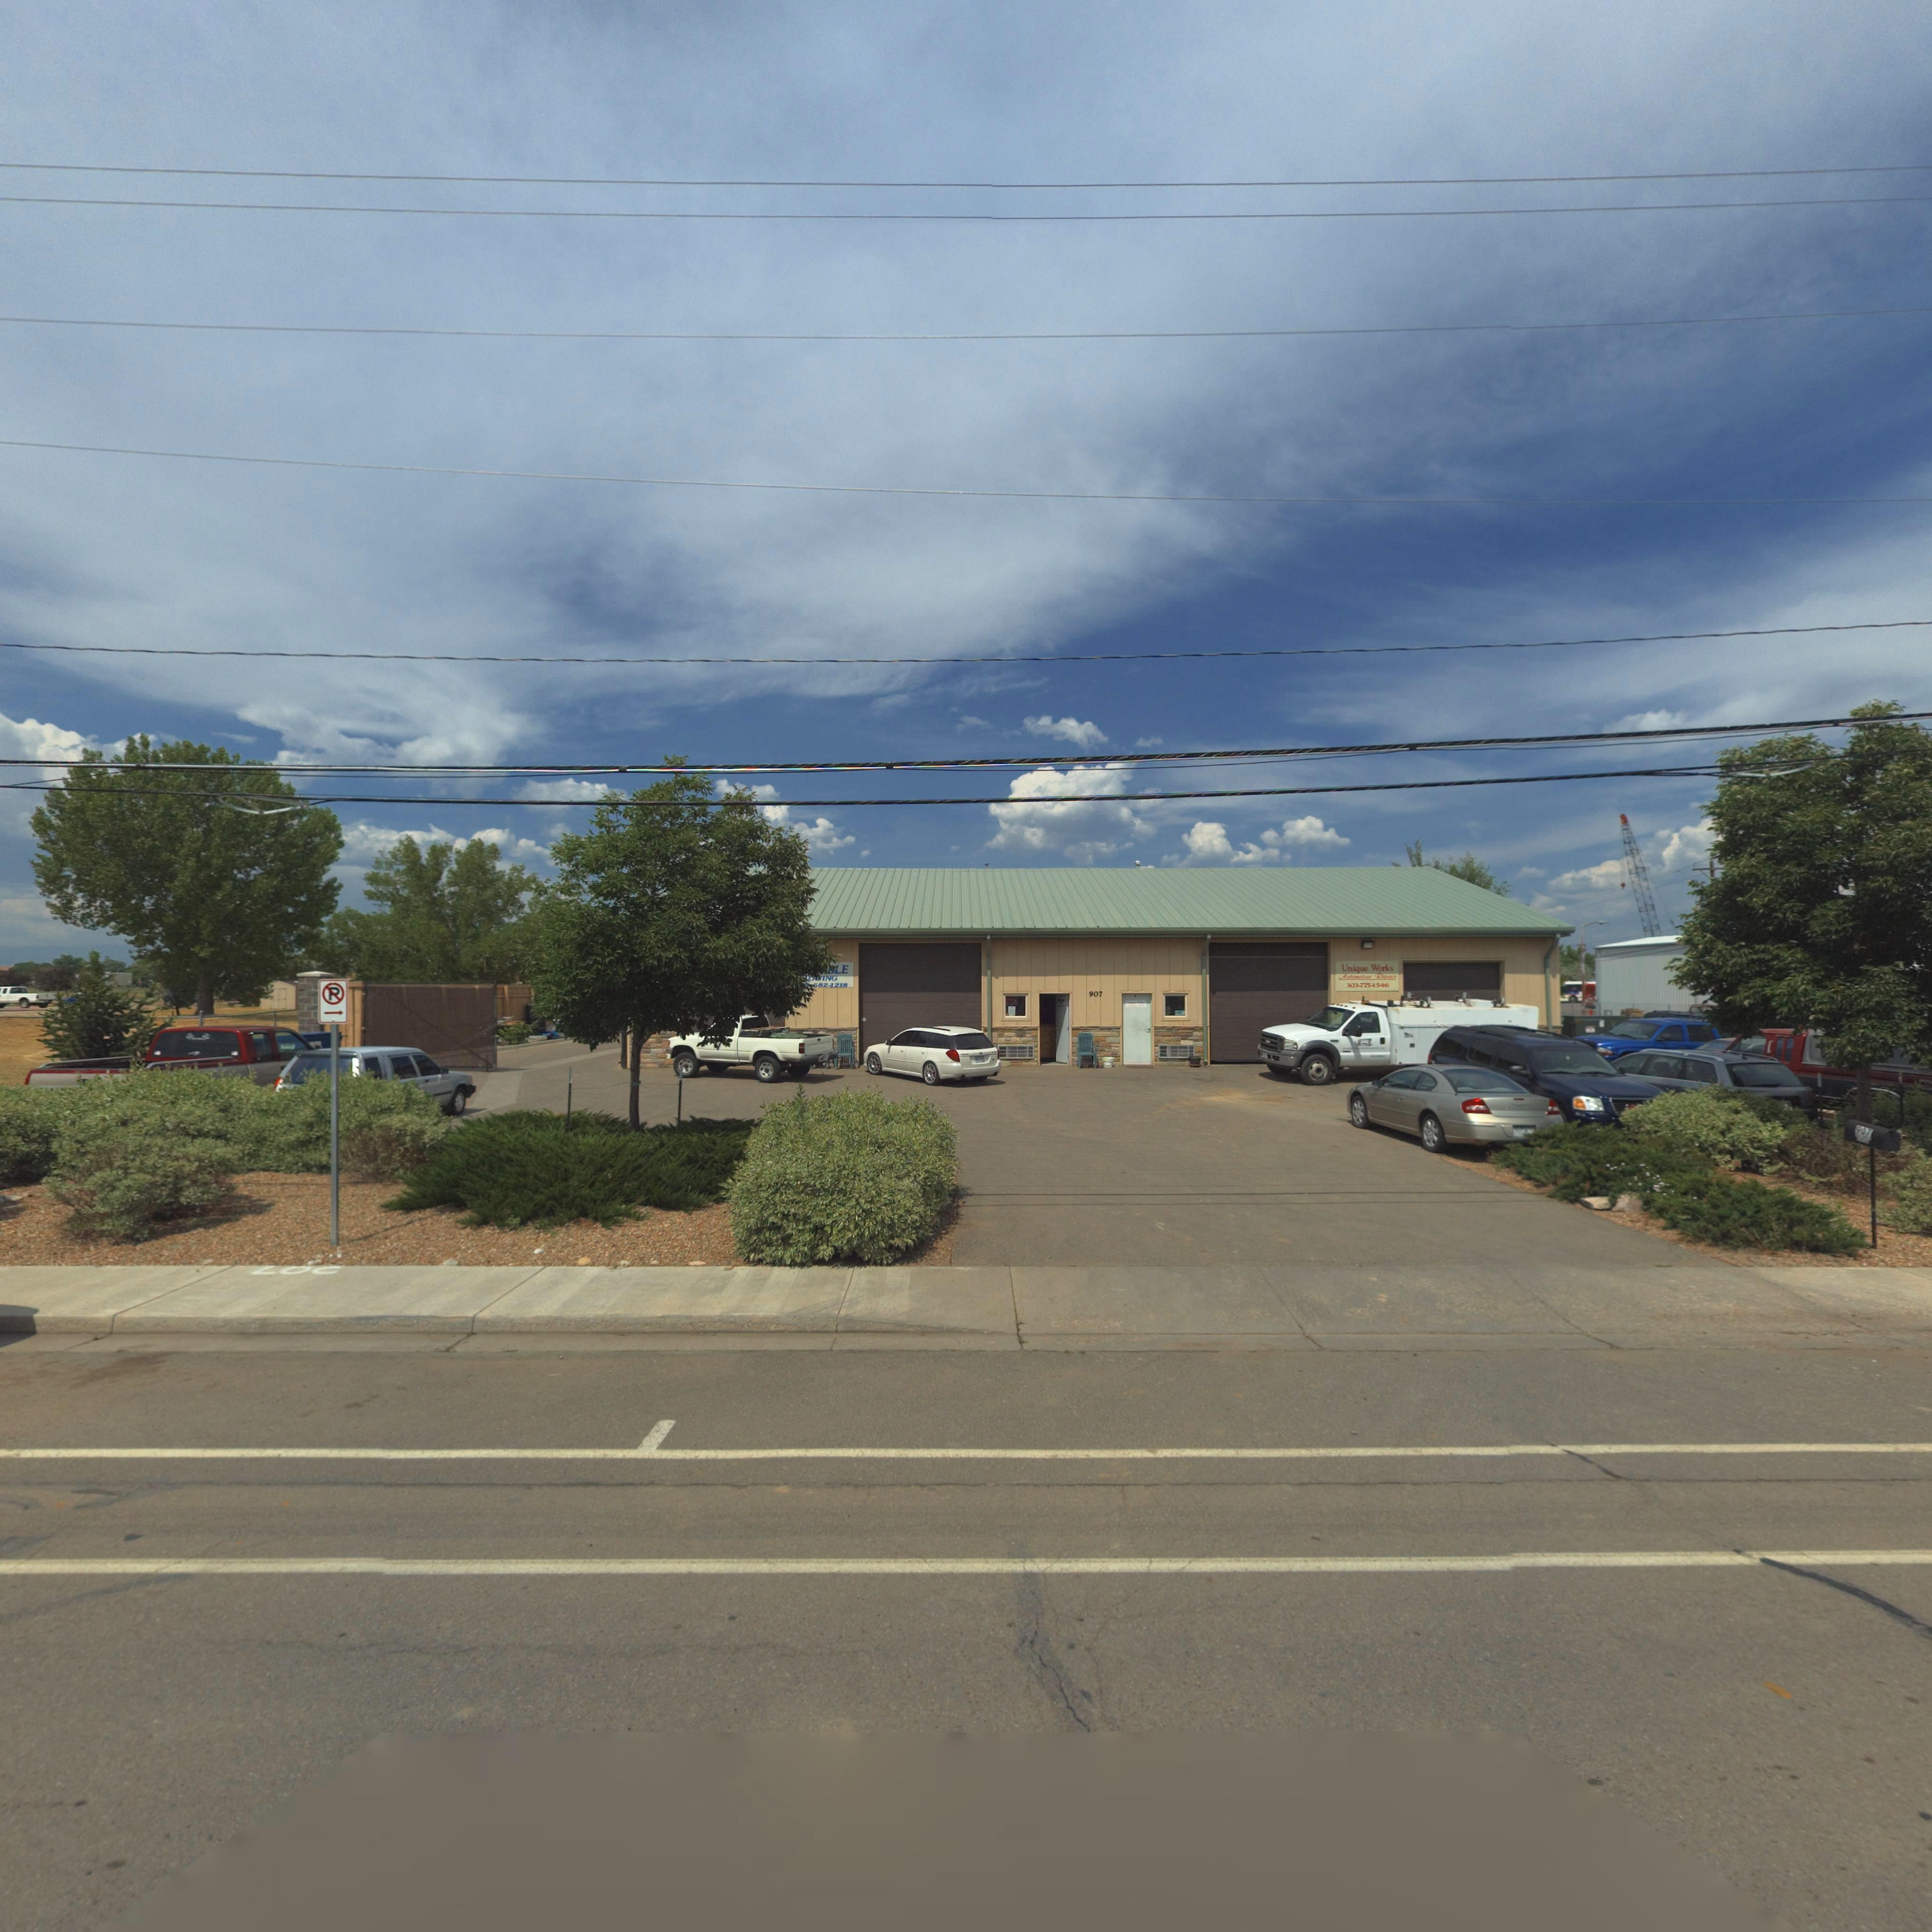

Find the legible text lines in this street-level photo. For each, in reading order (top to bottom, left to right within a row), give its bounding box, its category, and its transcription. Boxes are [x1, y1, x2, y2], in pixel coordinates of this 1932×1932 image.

[828, 965, 849, 974] BusinessName: *LE
[1341, 963, 1394, 973] BusinessName: Unique Works
[802, 975, 838, 981] BusinessName: *O*ING
[1338, 973, 1397, 980] BusinessName: Automotive Repair
[1088, 991, 1103, 997] StreetNumber: 907
[1855, 1124, 1873, 1135] StreetNumber: 907